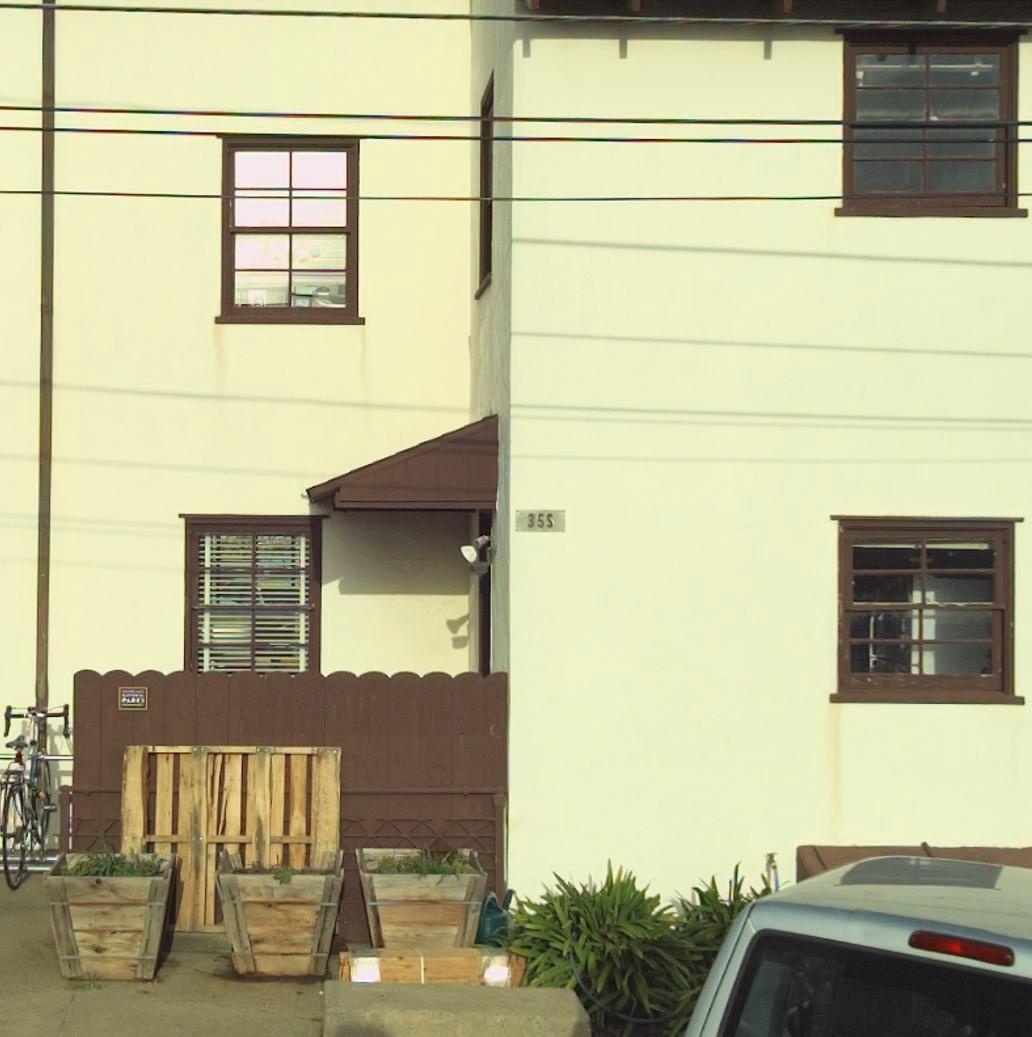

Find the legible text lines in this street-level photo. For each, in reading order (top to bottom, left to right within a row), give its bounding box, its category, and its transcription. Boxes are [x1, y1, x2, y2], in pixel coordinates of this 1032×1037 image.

[524, 511, 556, 530] StreetNumber: 35S